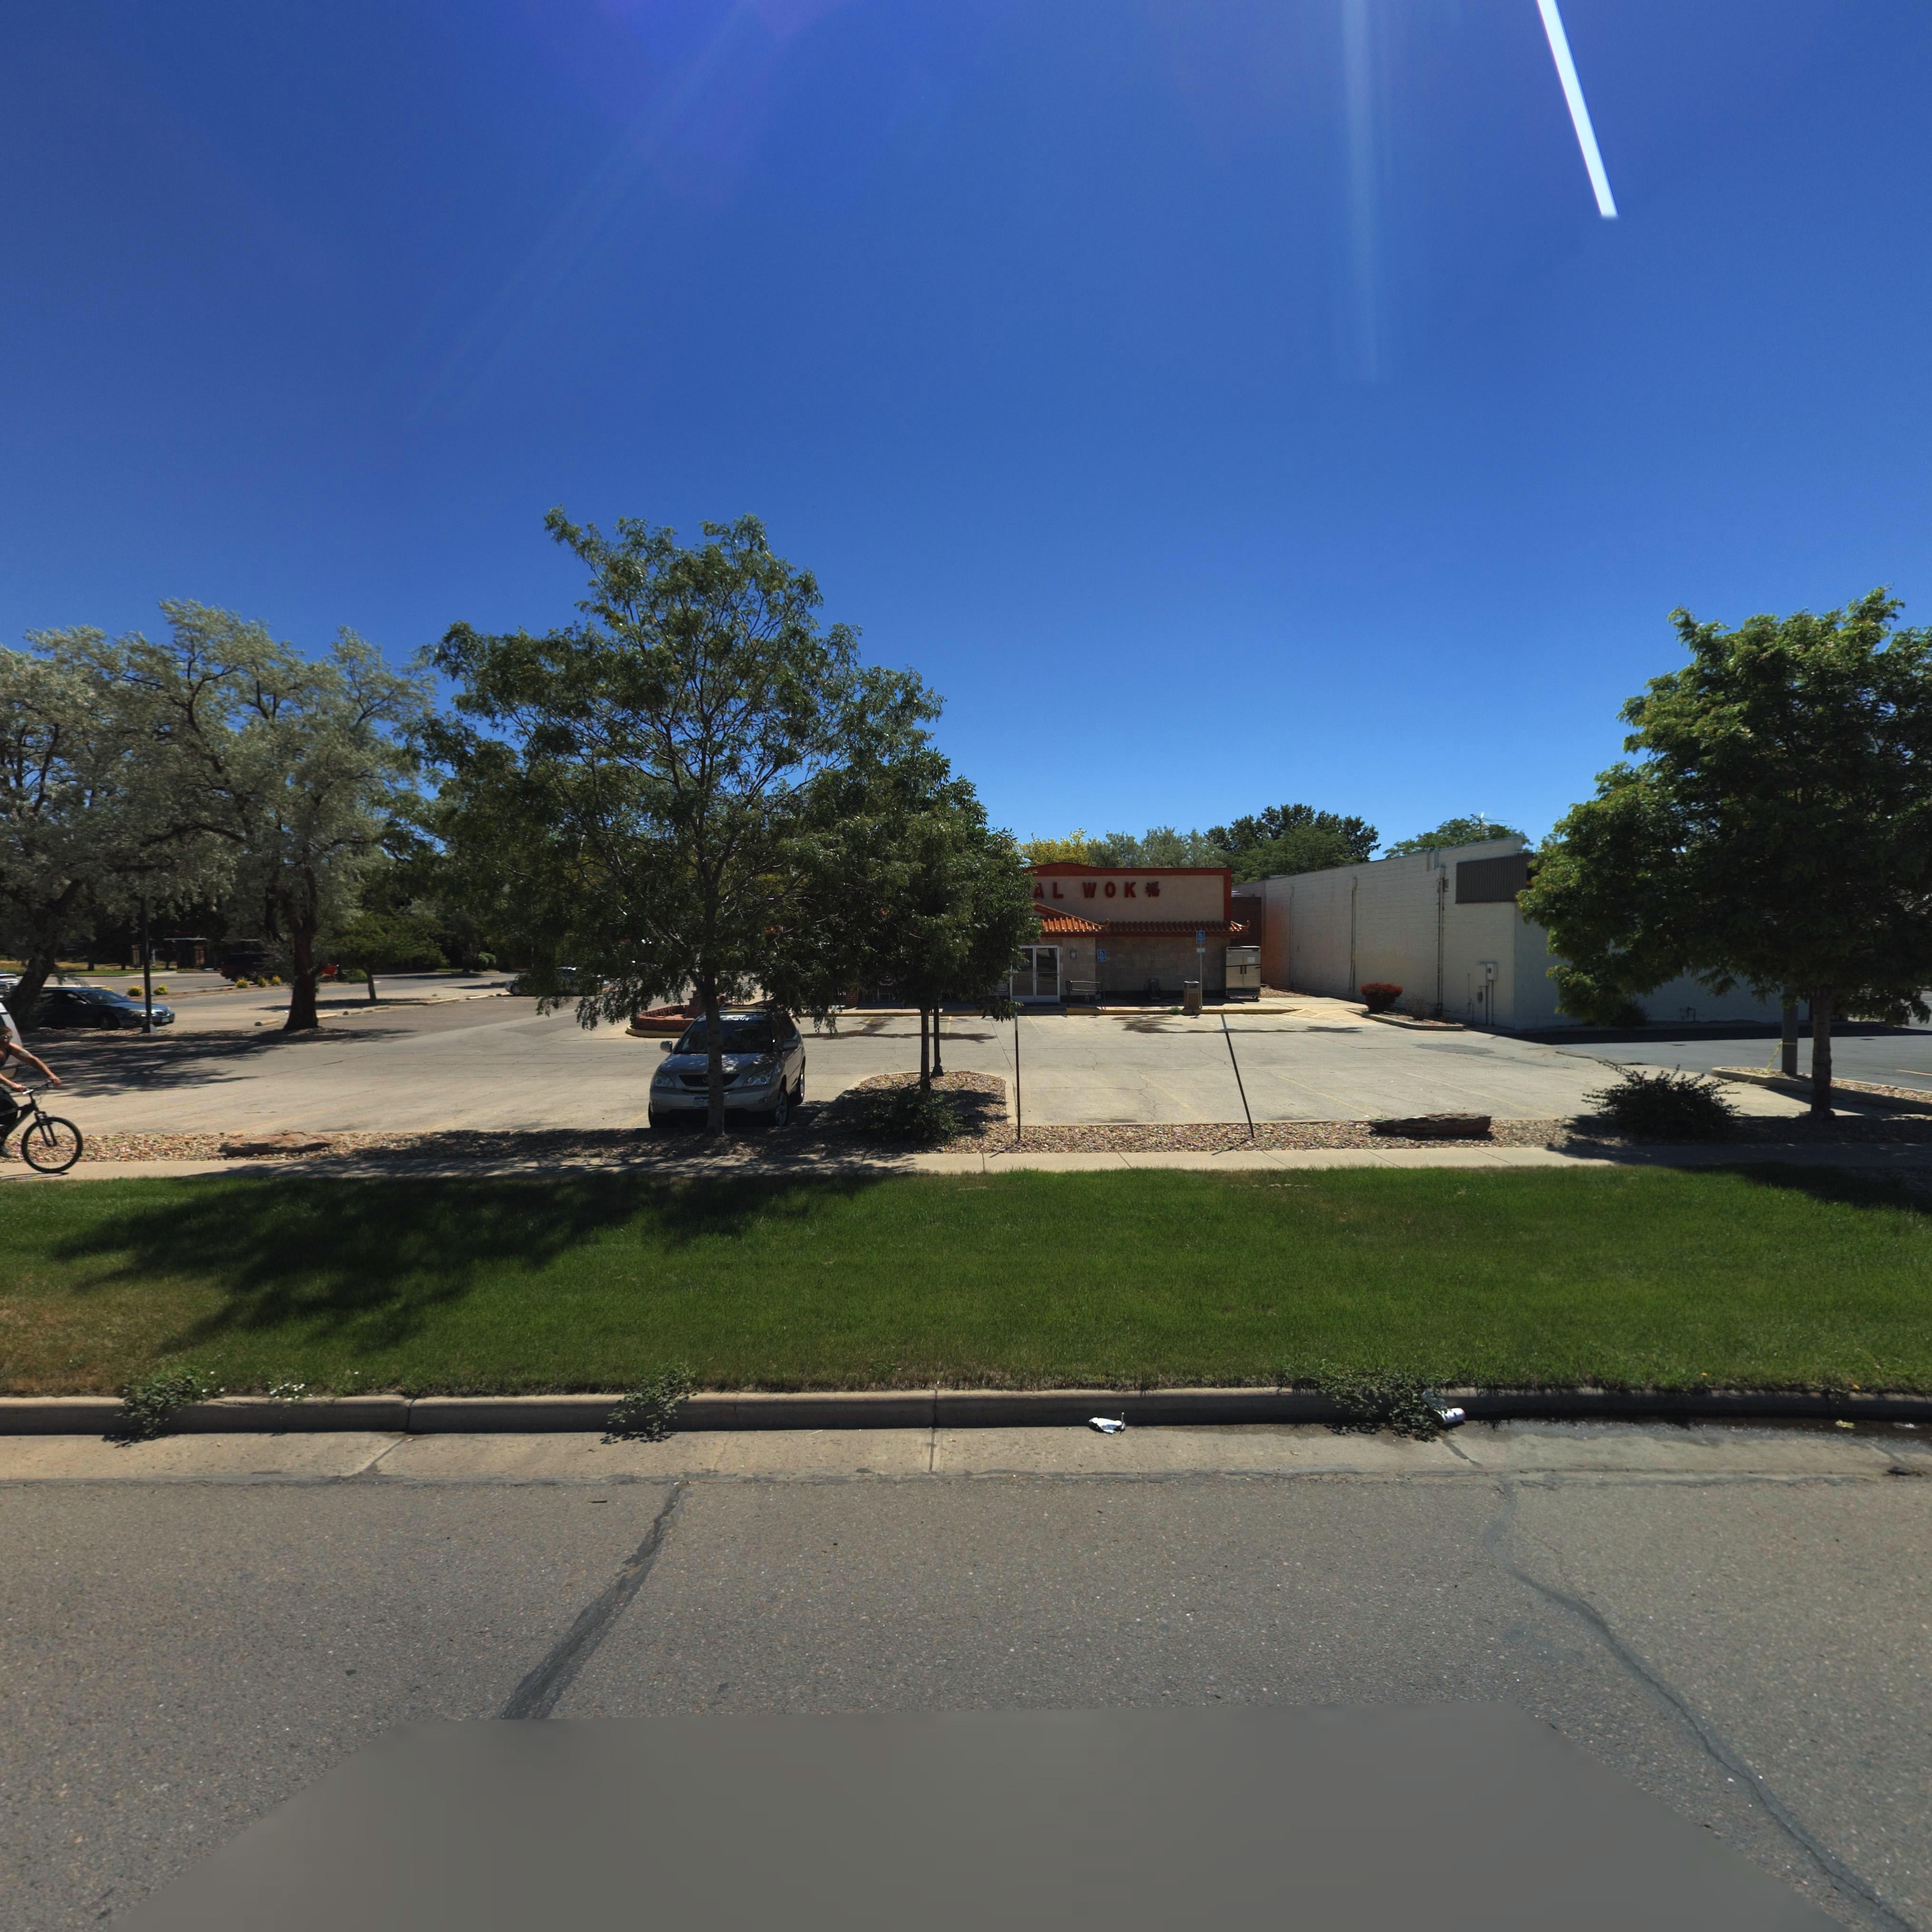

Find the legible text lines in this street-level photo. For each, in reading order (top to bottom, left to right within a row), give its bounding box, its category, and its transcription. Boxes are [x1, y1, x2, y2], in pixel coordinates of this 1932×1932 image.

[1032, 880, 1139, 899] BusinessName: AL WOK